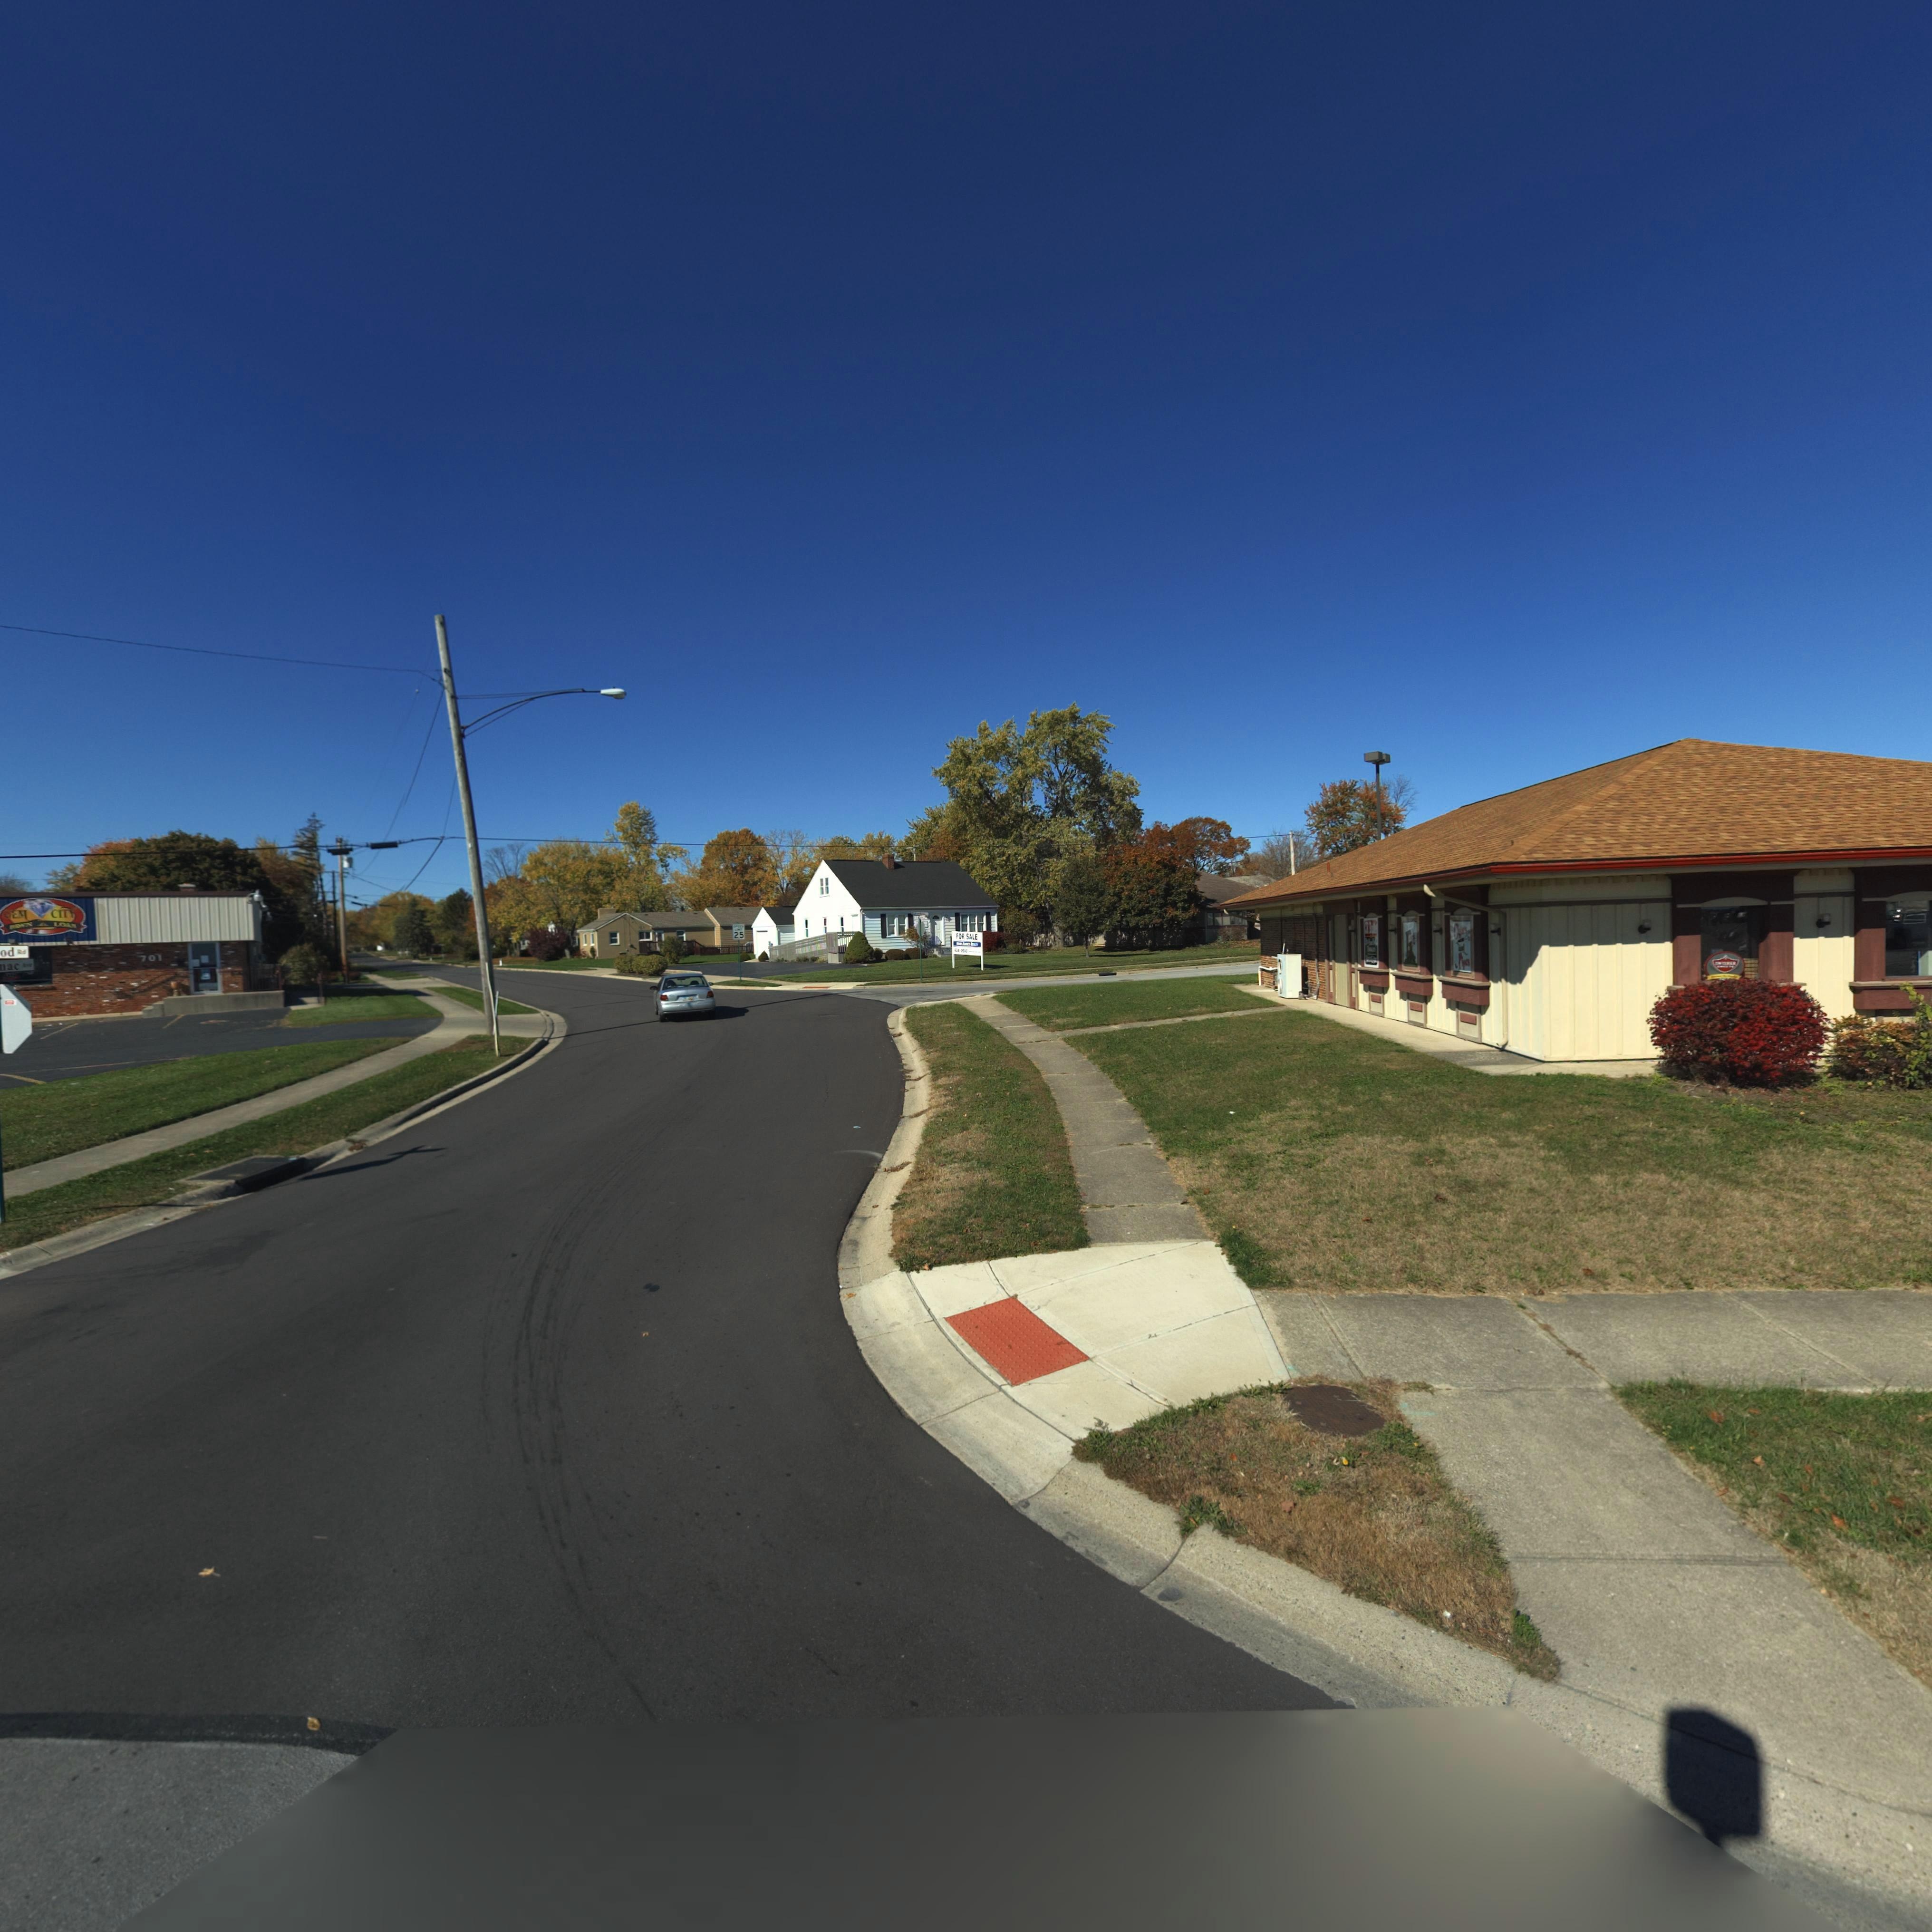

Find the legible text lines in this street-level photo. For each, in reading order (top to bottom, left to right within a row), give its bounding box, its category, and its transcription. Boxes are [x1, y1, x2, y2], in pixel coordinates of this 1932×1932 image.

[11, 908, 76, 919] BusinessName: EM CITY
[0, 947, 15, 957] StreetName: od
[139, 954, 163, 963] StreetNumber: 701
[6, 962, 20, 971] StreetName: ac